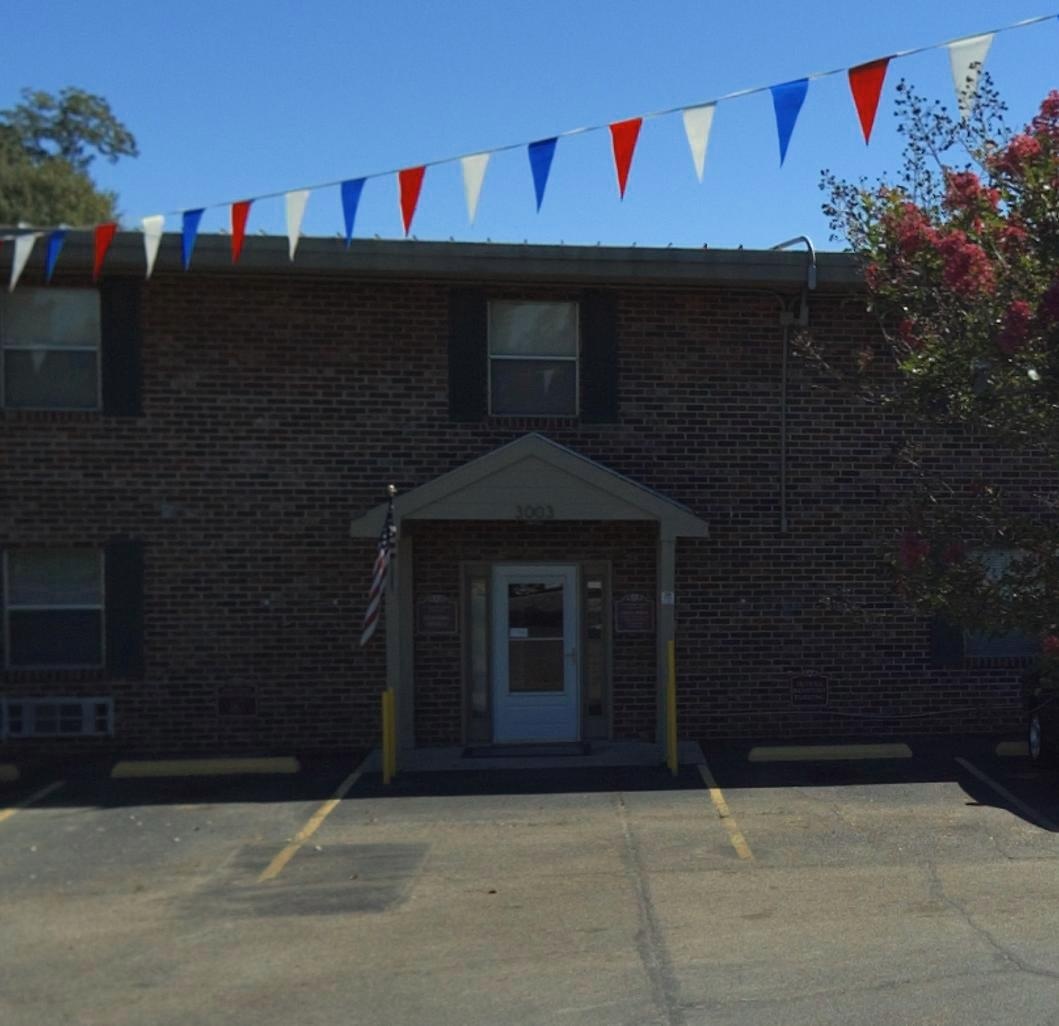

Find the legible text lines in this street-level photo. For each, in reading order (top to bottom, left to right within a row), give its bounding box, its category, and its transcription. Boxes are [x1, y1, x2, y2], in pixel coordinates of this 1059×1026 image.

[514, 504, 555, 520] StreetNumber: 3003